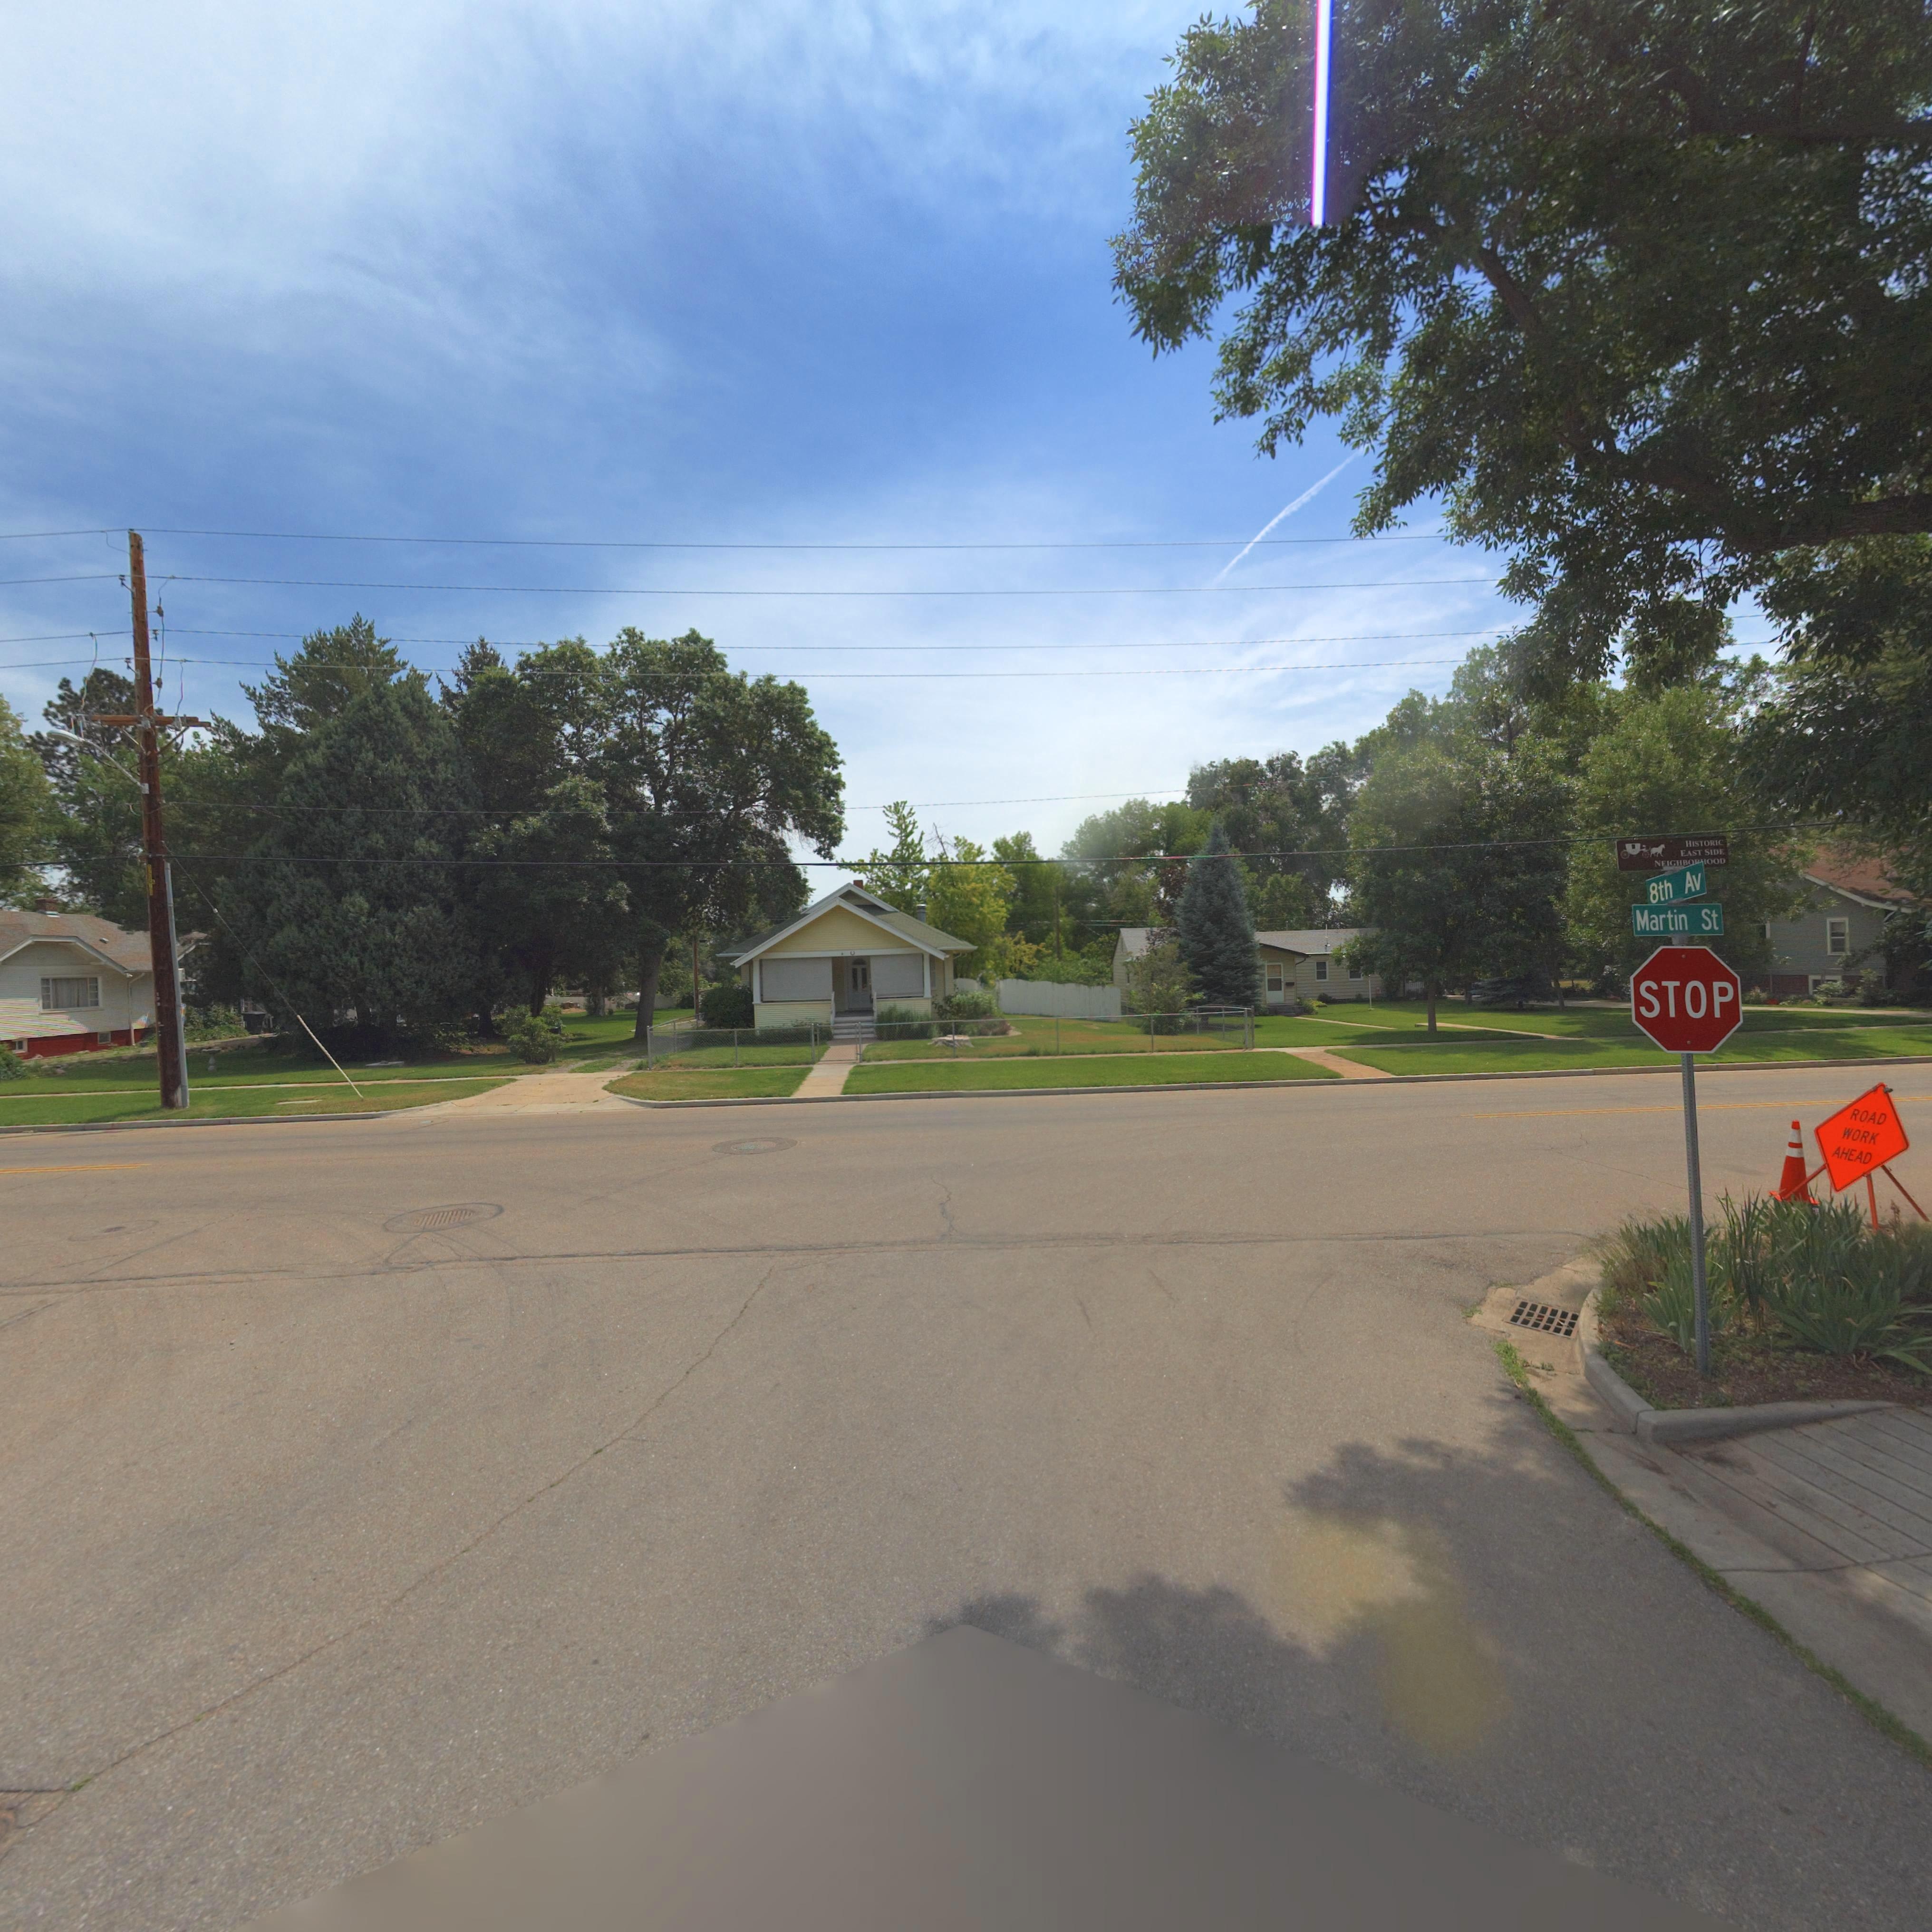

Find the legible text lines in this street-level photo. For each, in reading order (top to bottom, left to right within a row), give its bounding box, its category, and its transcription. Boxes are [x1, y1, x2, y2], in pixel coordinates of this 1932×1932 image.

[1648, 870, 1701, 904] StreetName: 8th Av
[1635, 908, 1719, 931] StreetName: Martin St